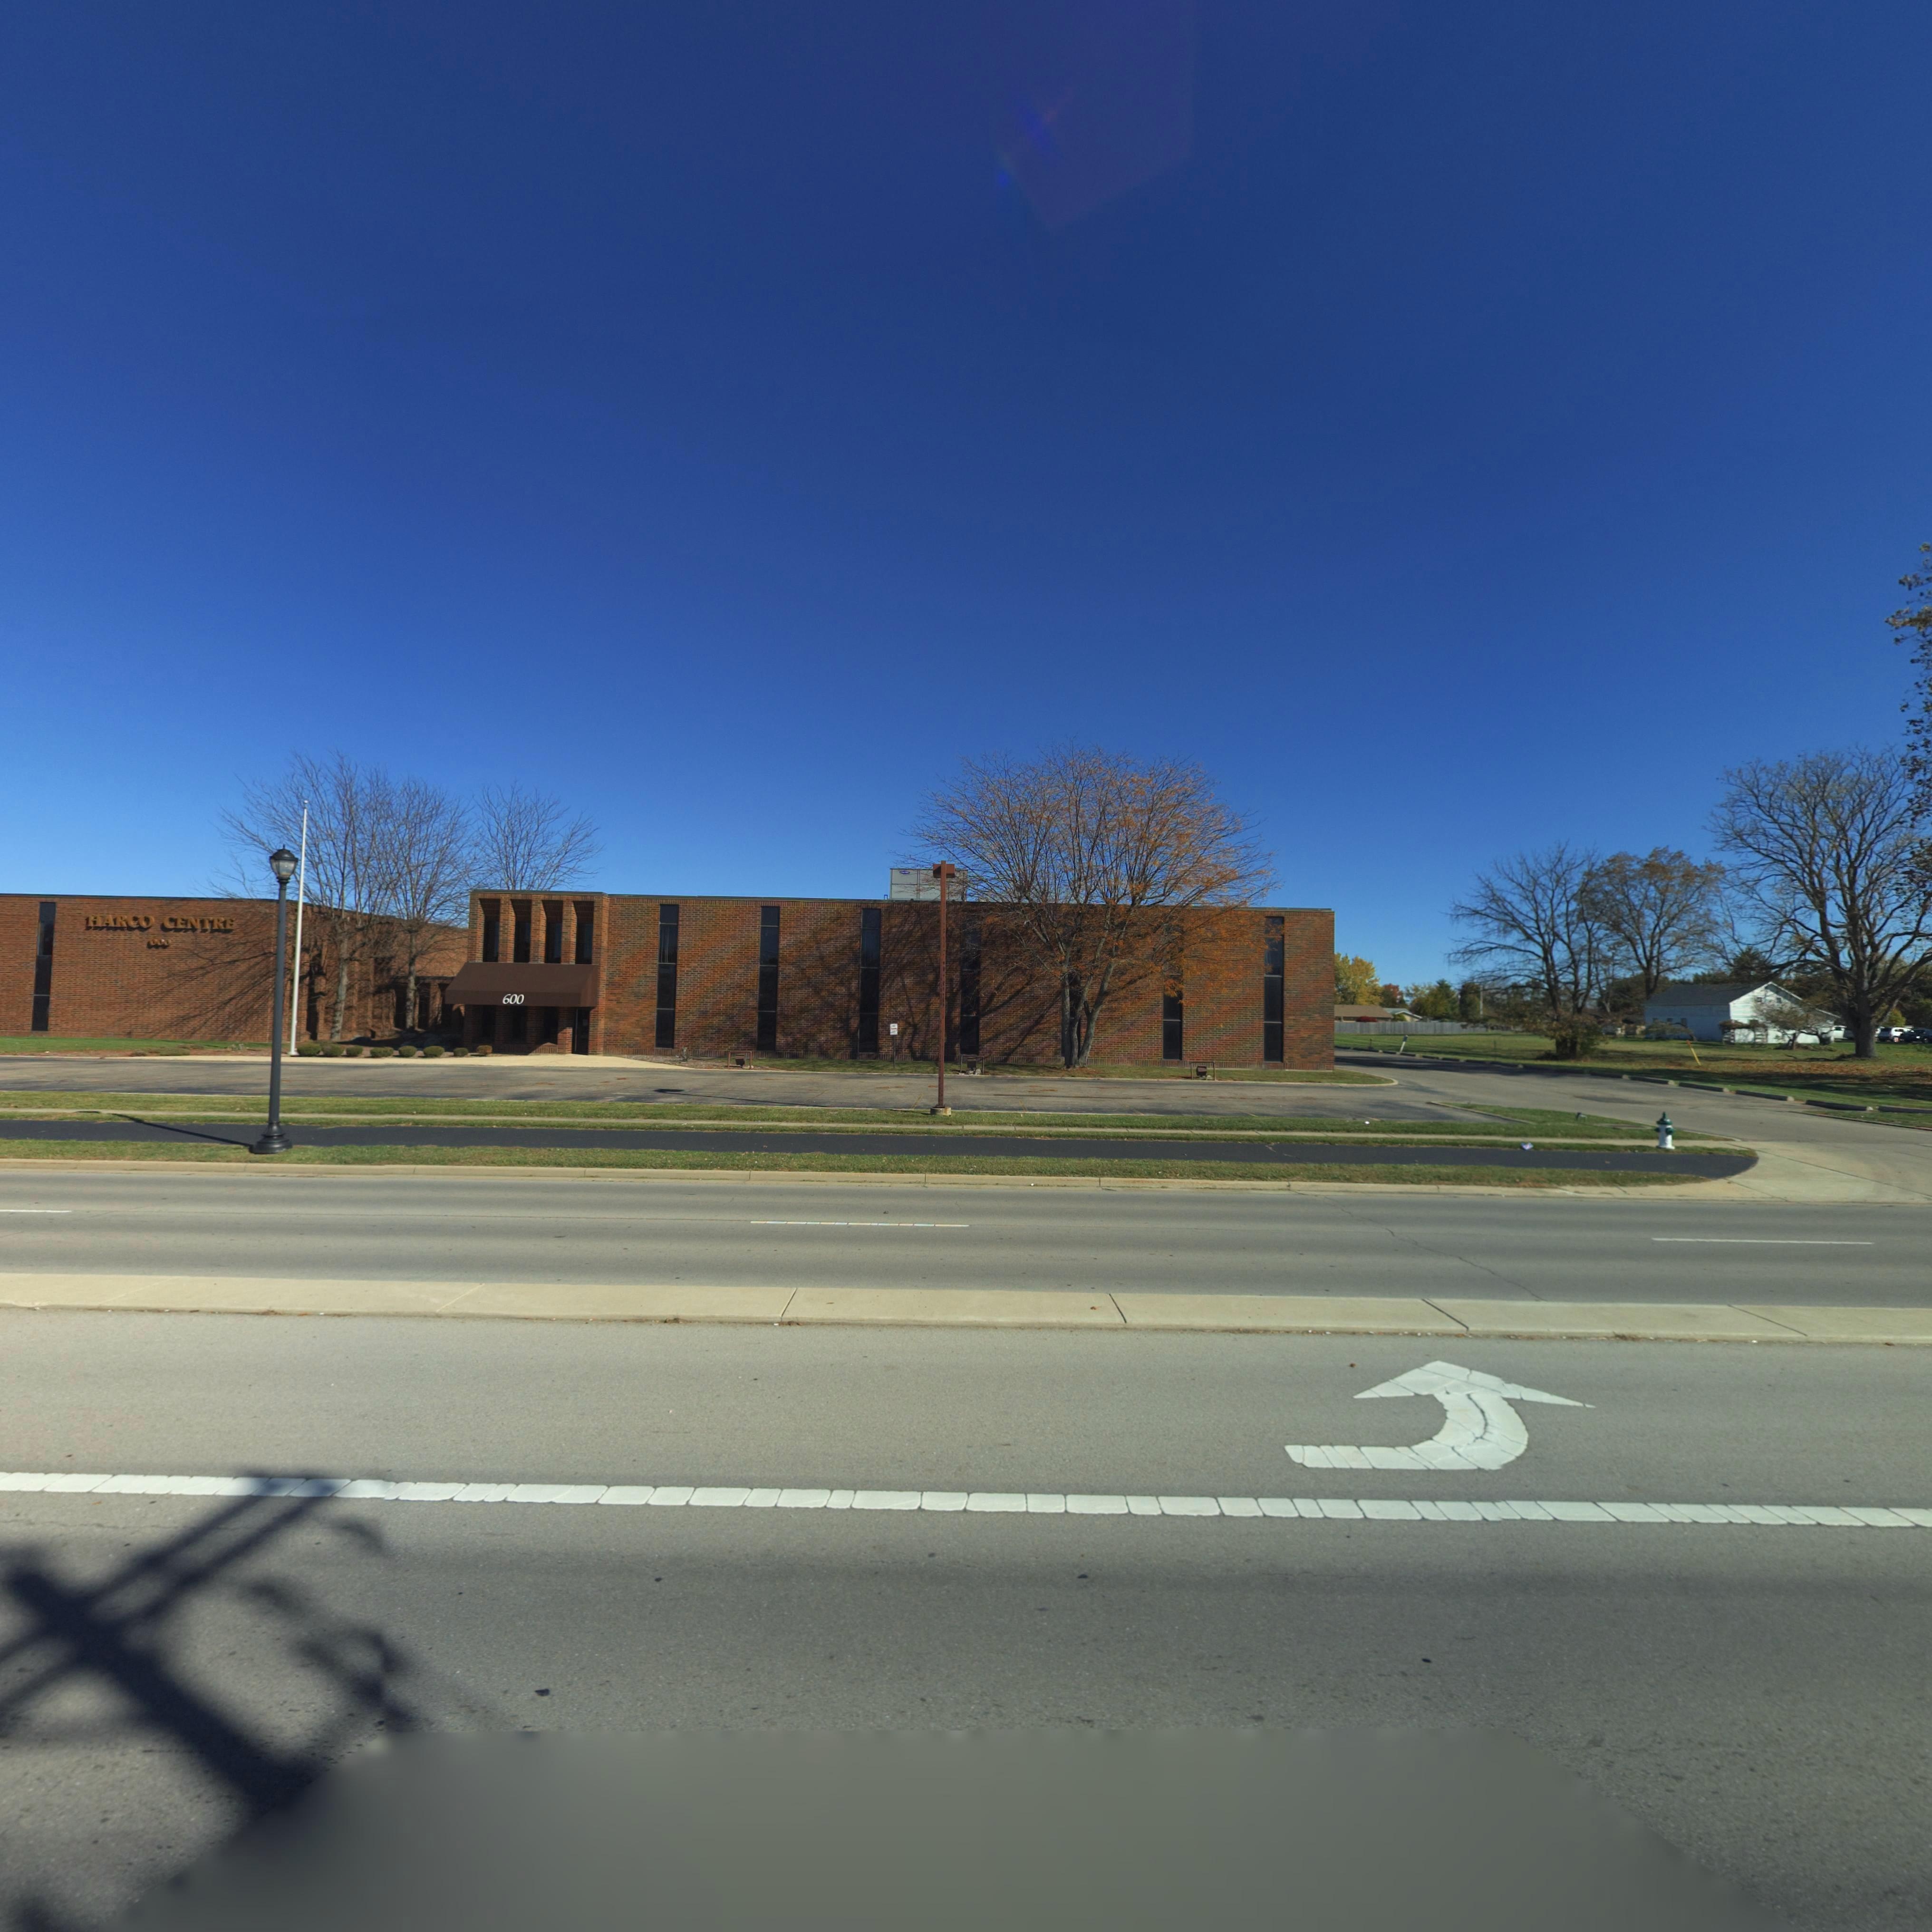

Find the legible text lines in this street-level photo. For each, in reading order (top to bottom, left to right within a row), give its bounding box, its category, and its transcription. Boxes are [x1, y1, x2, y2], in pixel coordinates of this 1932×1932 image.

[86, 913, 238, 930] BusinessName: HARCO CENTRE
[148, 933, 172, 947] StreetNumber: 600
[501, 993, 526, 1005] StreetNumber: 600